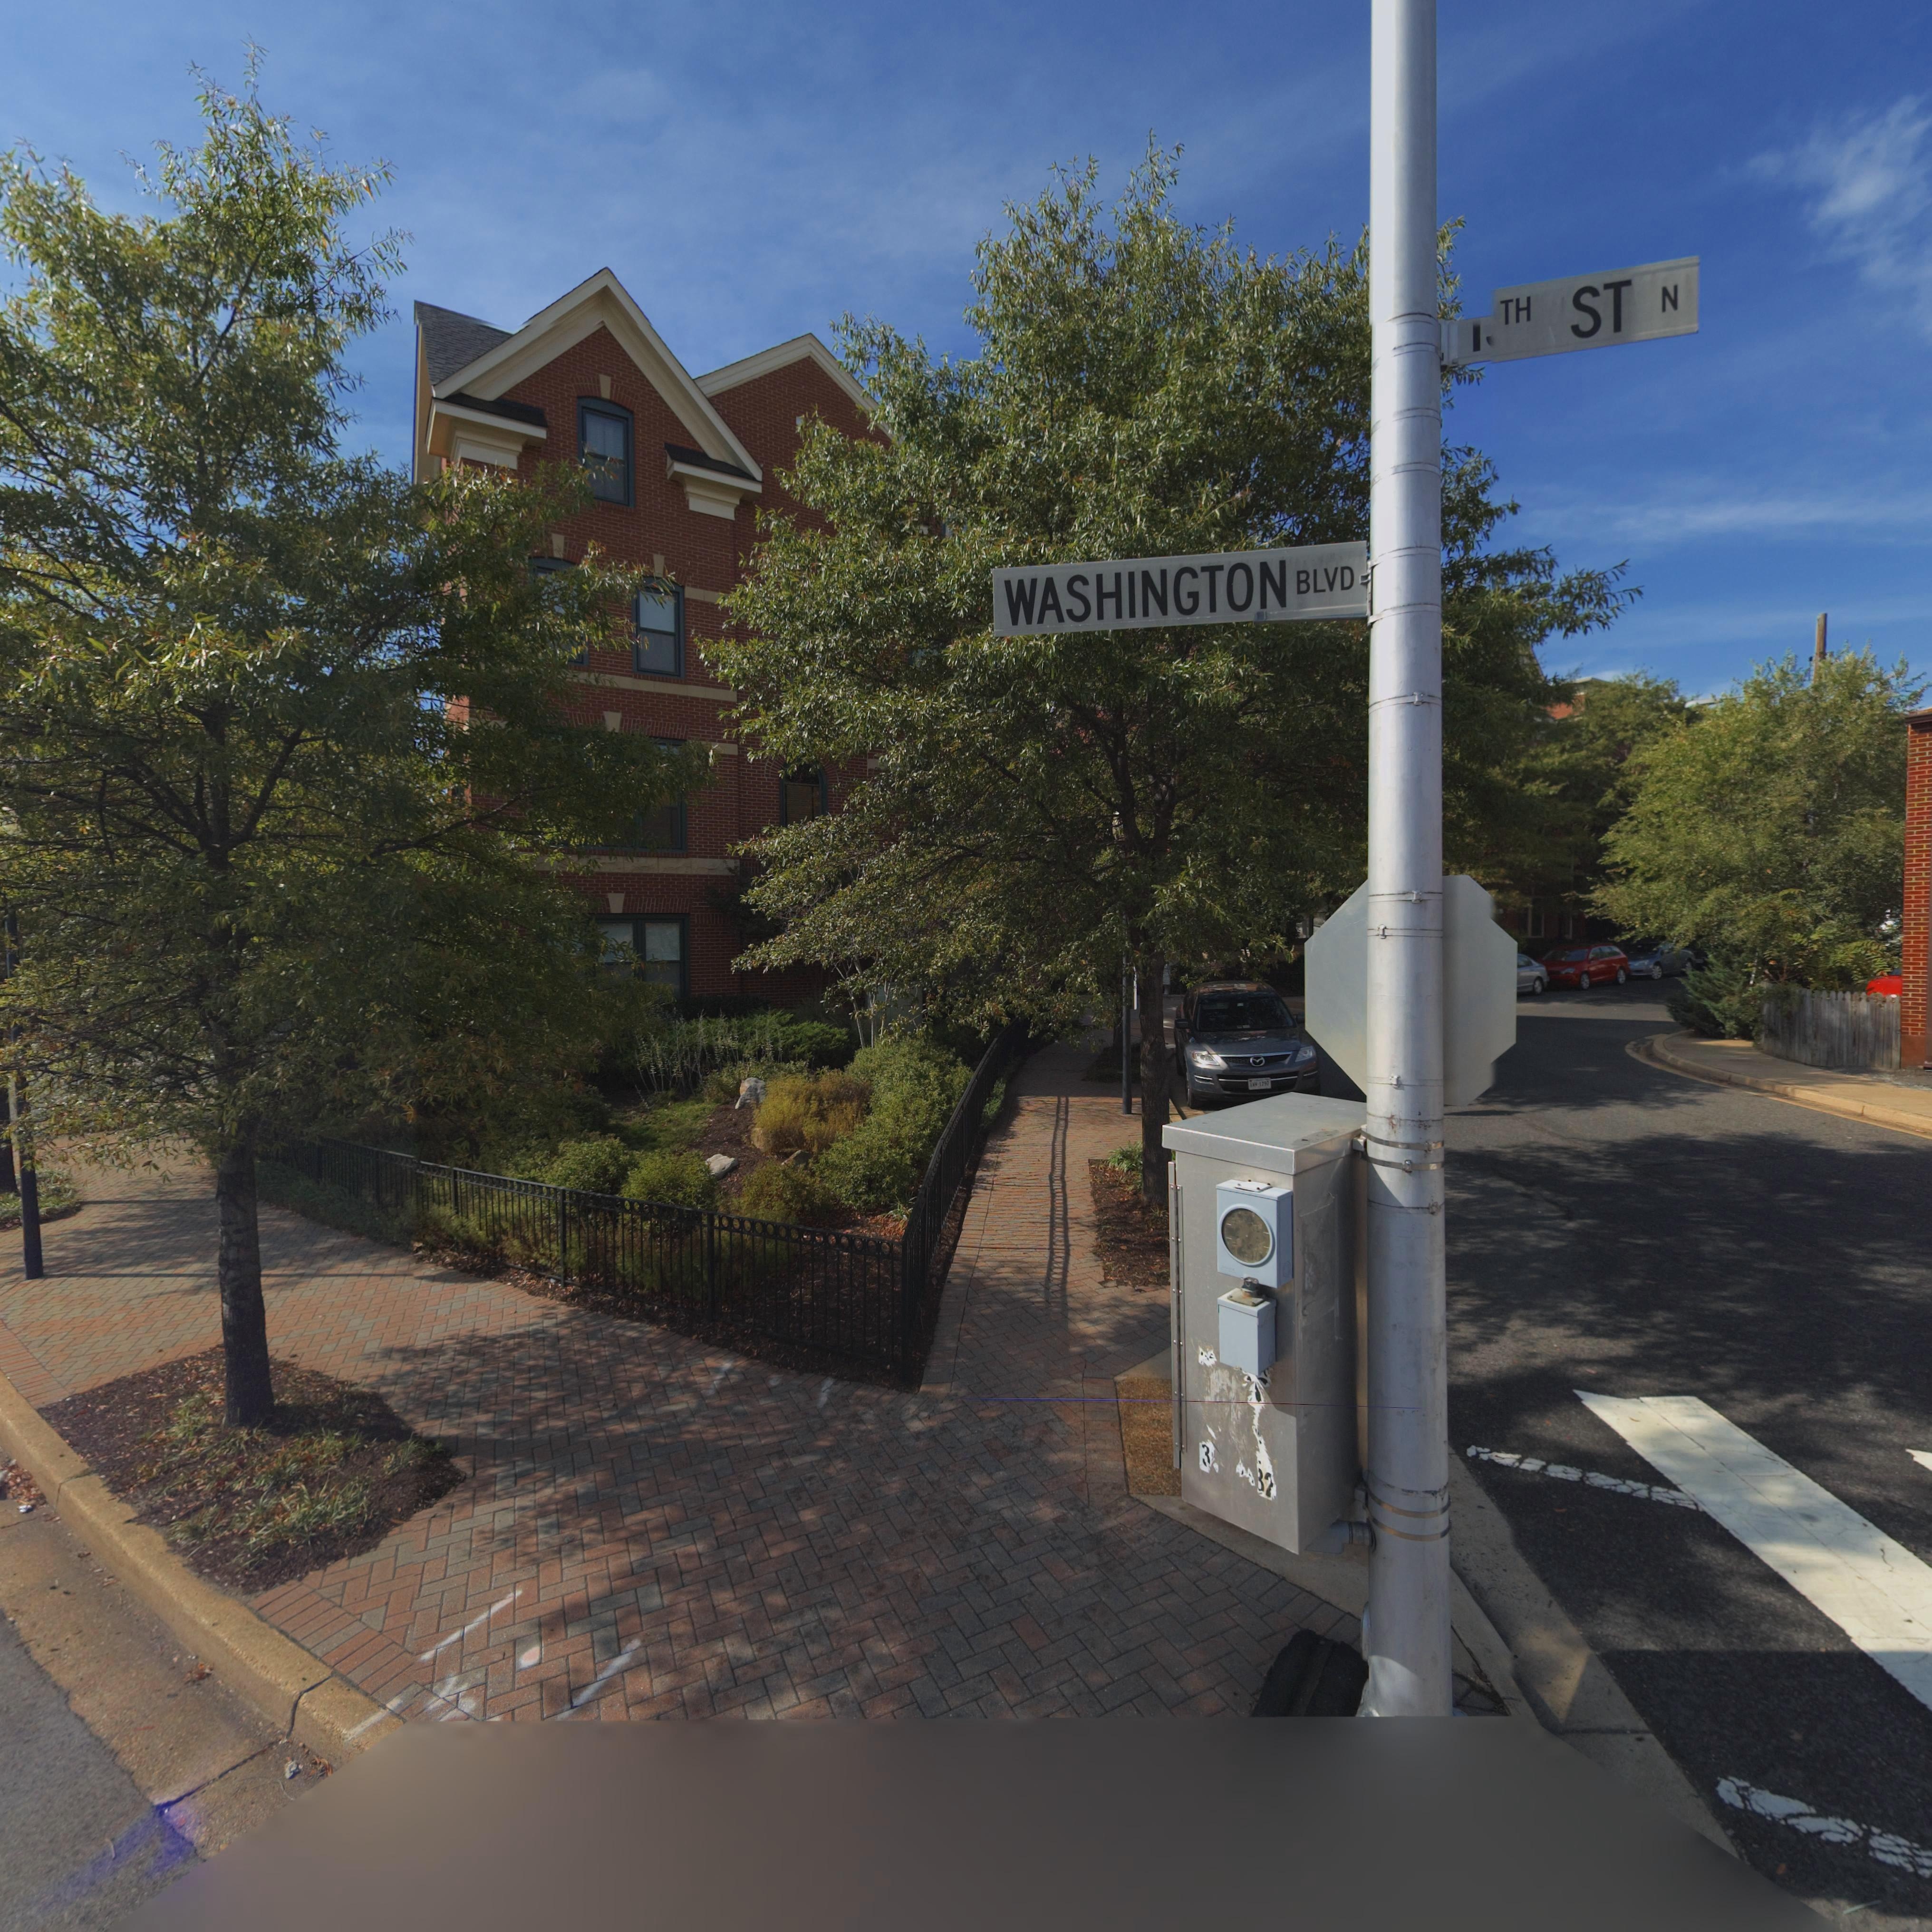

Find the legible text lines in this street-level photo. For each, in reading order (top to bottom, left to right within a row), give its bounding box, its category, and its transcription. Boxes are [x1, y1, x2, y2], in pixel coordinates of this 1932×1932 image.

[1498, 276, 1681, 341] StreetName: TH ST N
[1002, 559, 1357, 628] StreetName: WASHINGTON BLVD
[1259, 1081, 1269, 1087] None: 1797
[1202, 1442, 1210, 1468] None: 3